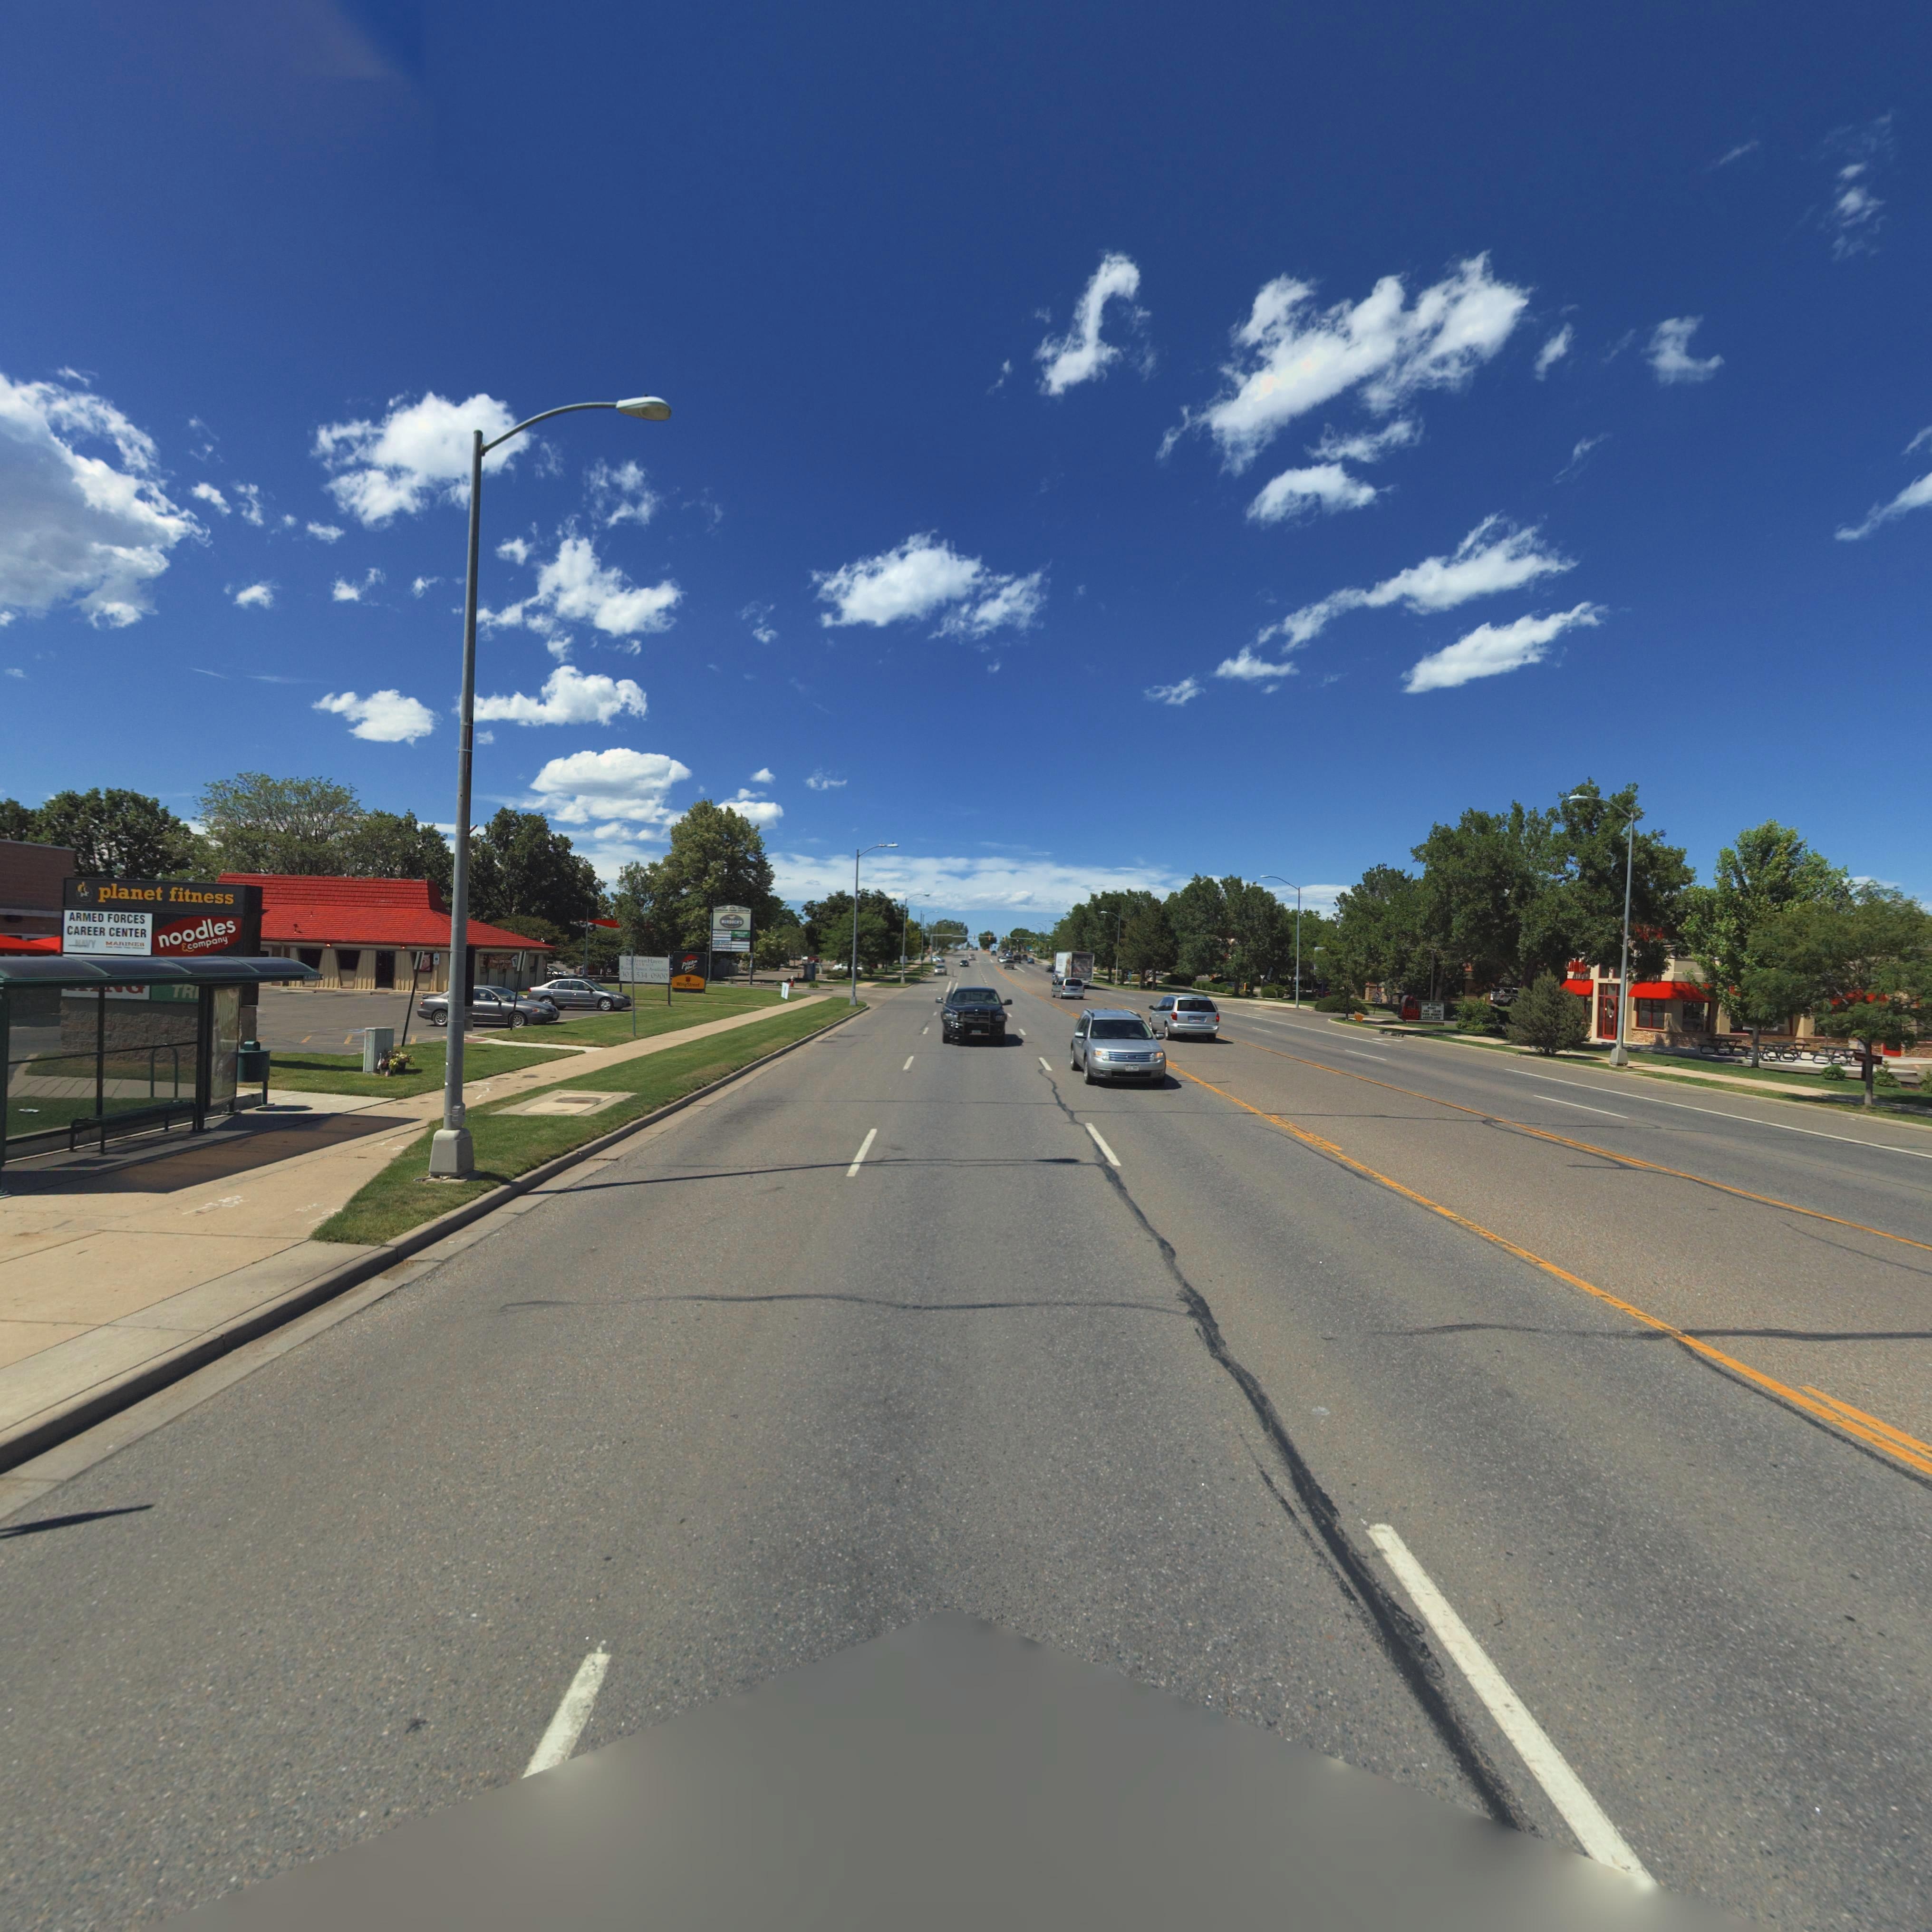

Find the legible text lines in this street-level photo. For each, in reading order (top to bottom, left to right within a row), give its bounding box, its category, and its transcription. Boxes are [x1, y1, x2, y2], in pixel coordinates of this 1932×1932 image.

[97, 882, 235, 905] BusinessName: planet fitness
[68, 912, 145, 924] BusinessName: ARMED FORCES
[67, 925, 147, 938] BusinessName: CAREER CENTER
[156, 917, 237, 948] BusinessName: noodles
[105, 941, 145, 947] BusinessName: MARINES
[185, 935, 229, 949] BusinessName: company
[172, 983, 196, 998] BusinessName: *R